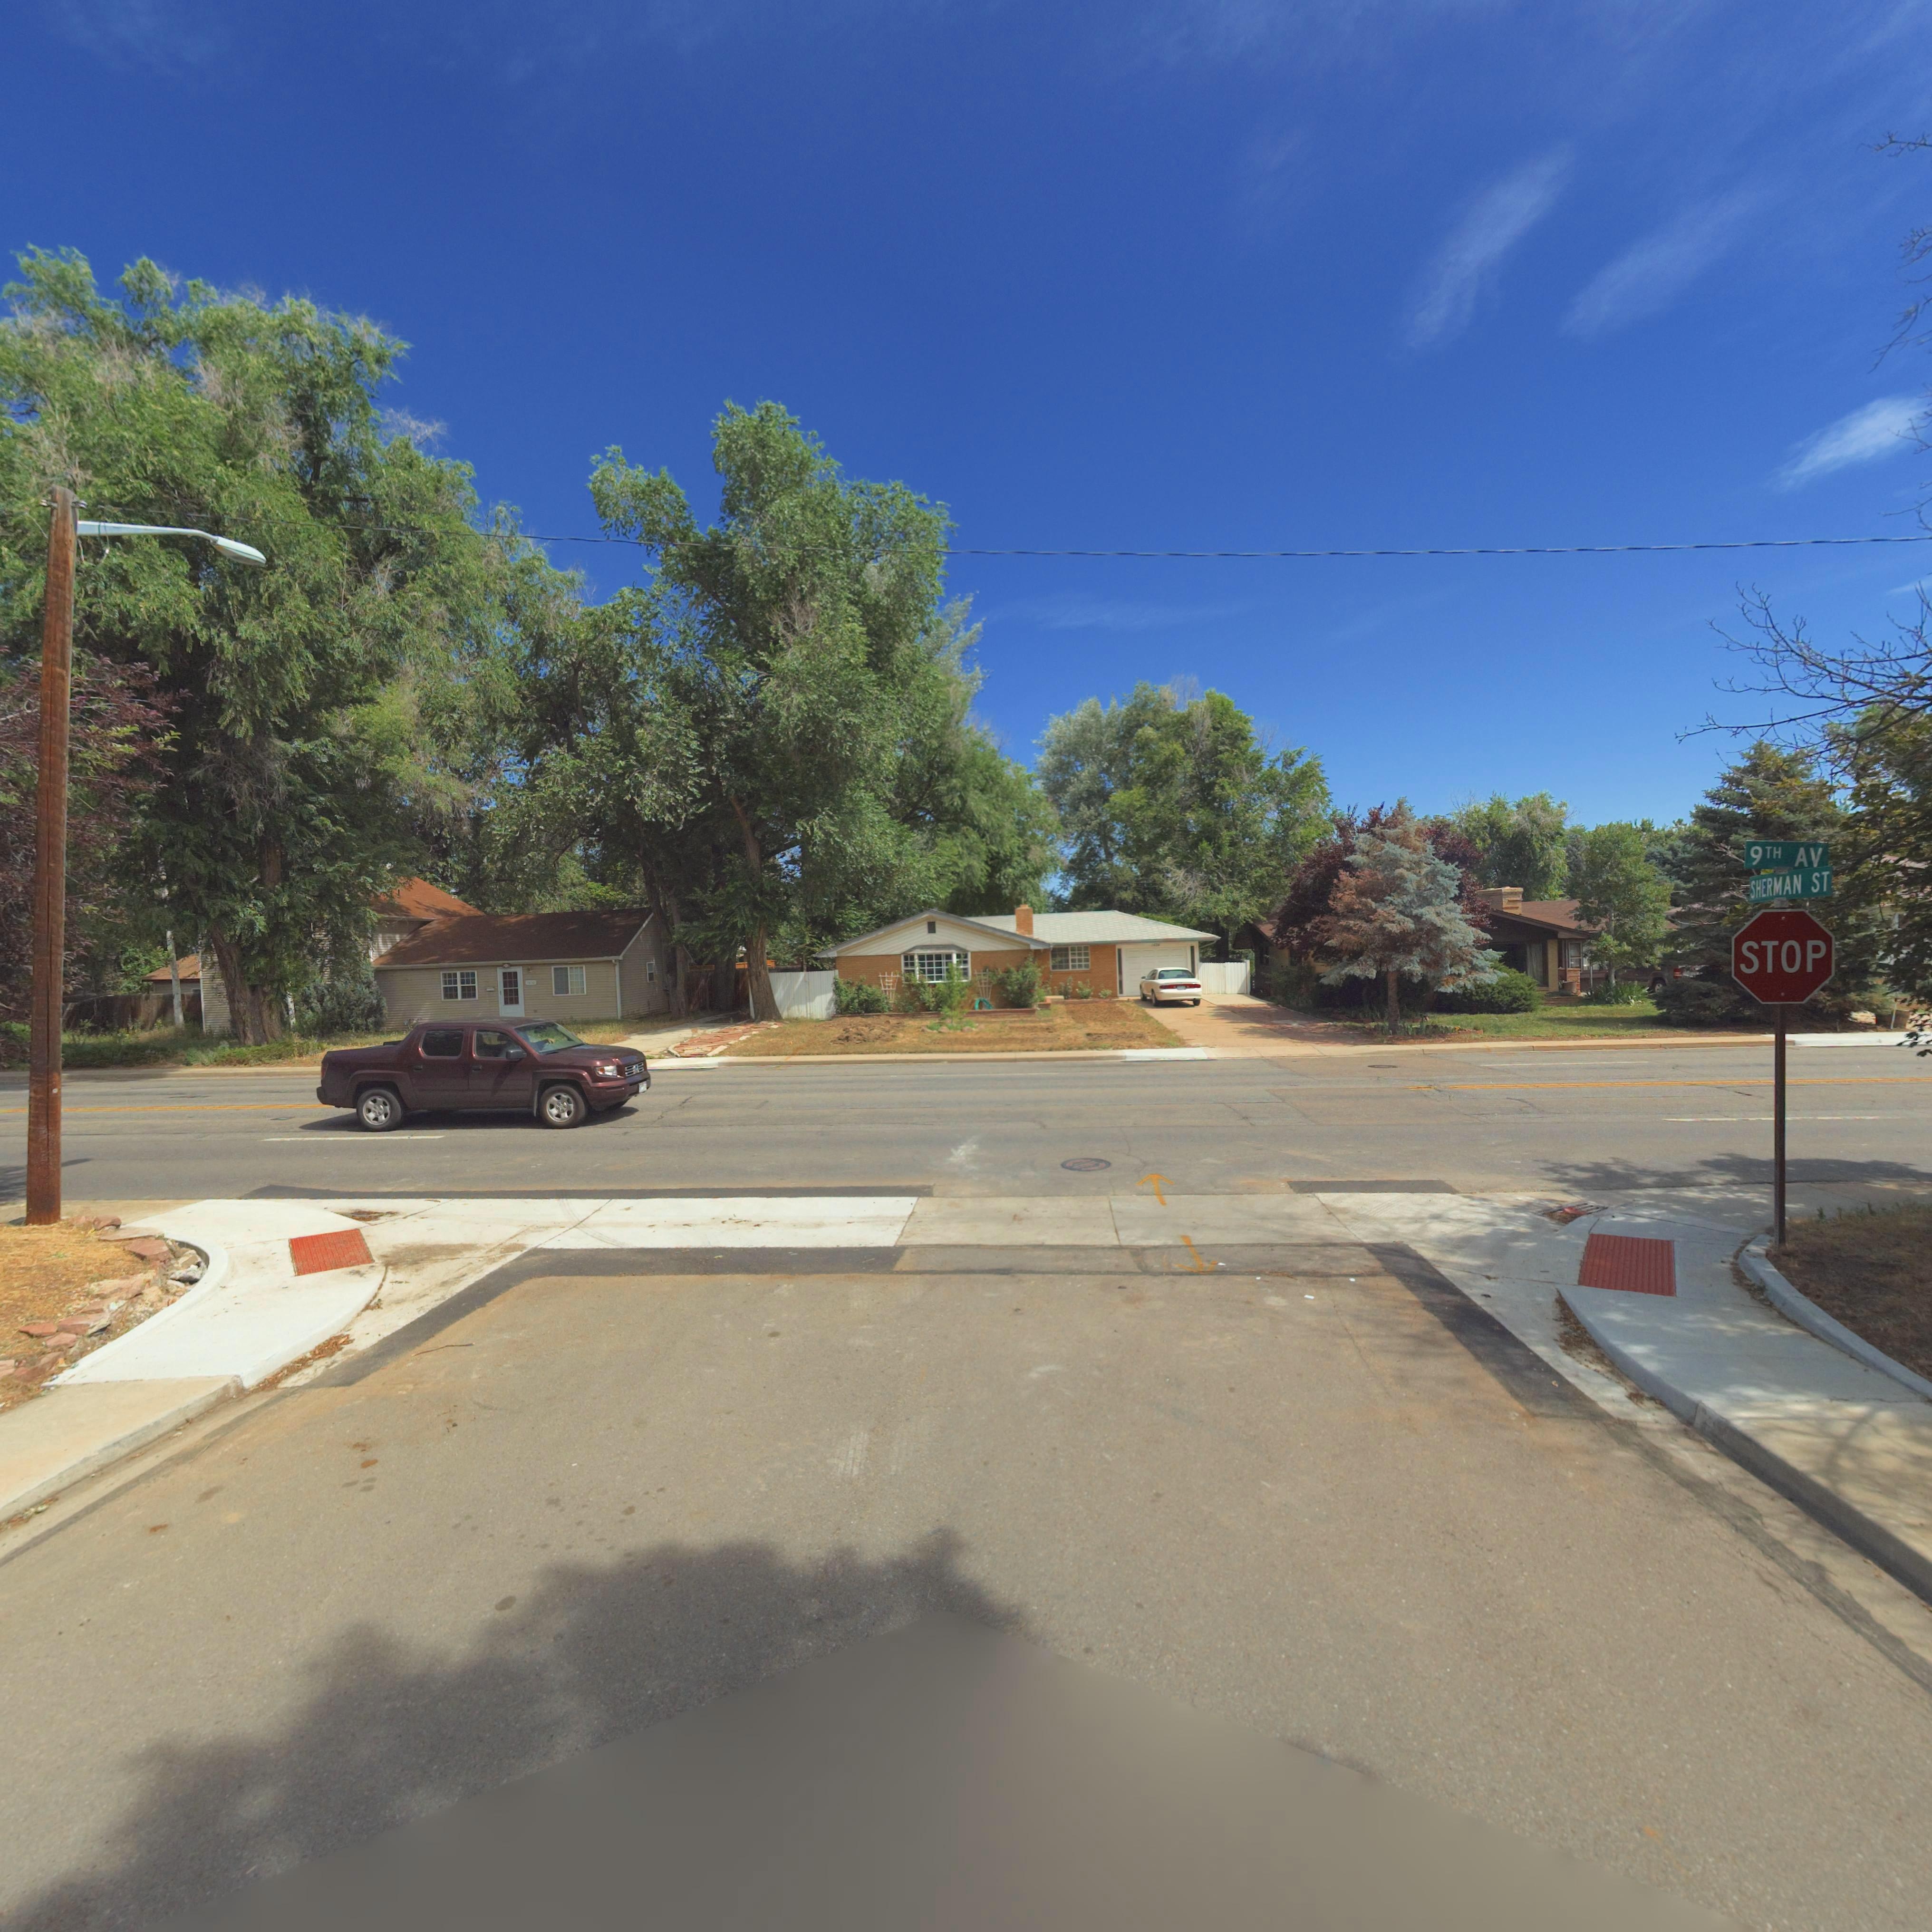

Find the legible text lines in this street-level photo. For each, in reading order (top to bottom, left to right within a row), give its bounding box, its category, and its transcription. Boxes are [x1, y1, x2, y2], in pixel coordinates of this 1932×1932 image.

[1749, 845, 1823, 868] StreetName: 9TH AV
[1749, 870, 1830, 899] StreetName: SHERMAN ST
[1151, 943, 1160, 946] StreetNumber: 1***